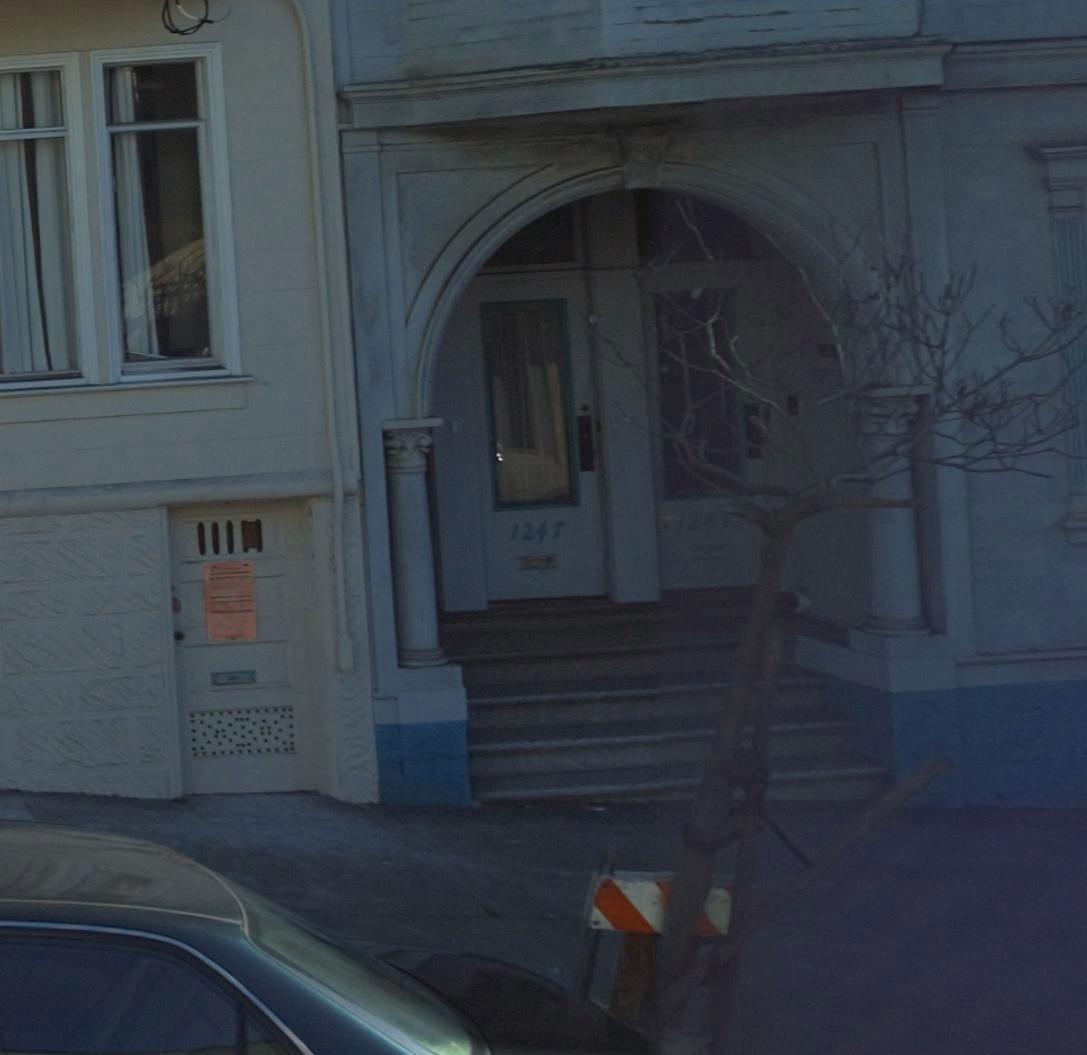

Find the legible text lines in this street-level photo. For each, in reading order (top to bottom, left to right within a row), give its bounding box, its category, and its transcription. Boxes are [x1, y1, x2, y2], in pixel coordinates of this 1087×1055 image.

[506, 519, 570, 544] StreetNumber: 1247
[674, 509, 739, 533] StreetNumber: 1249